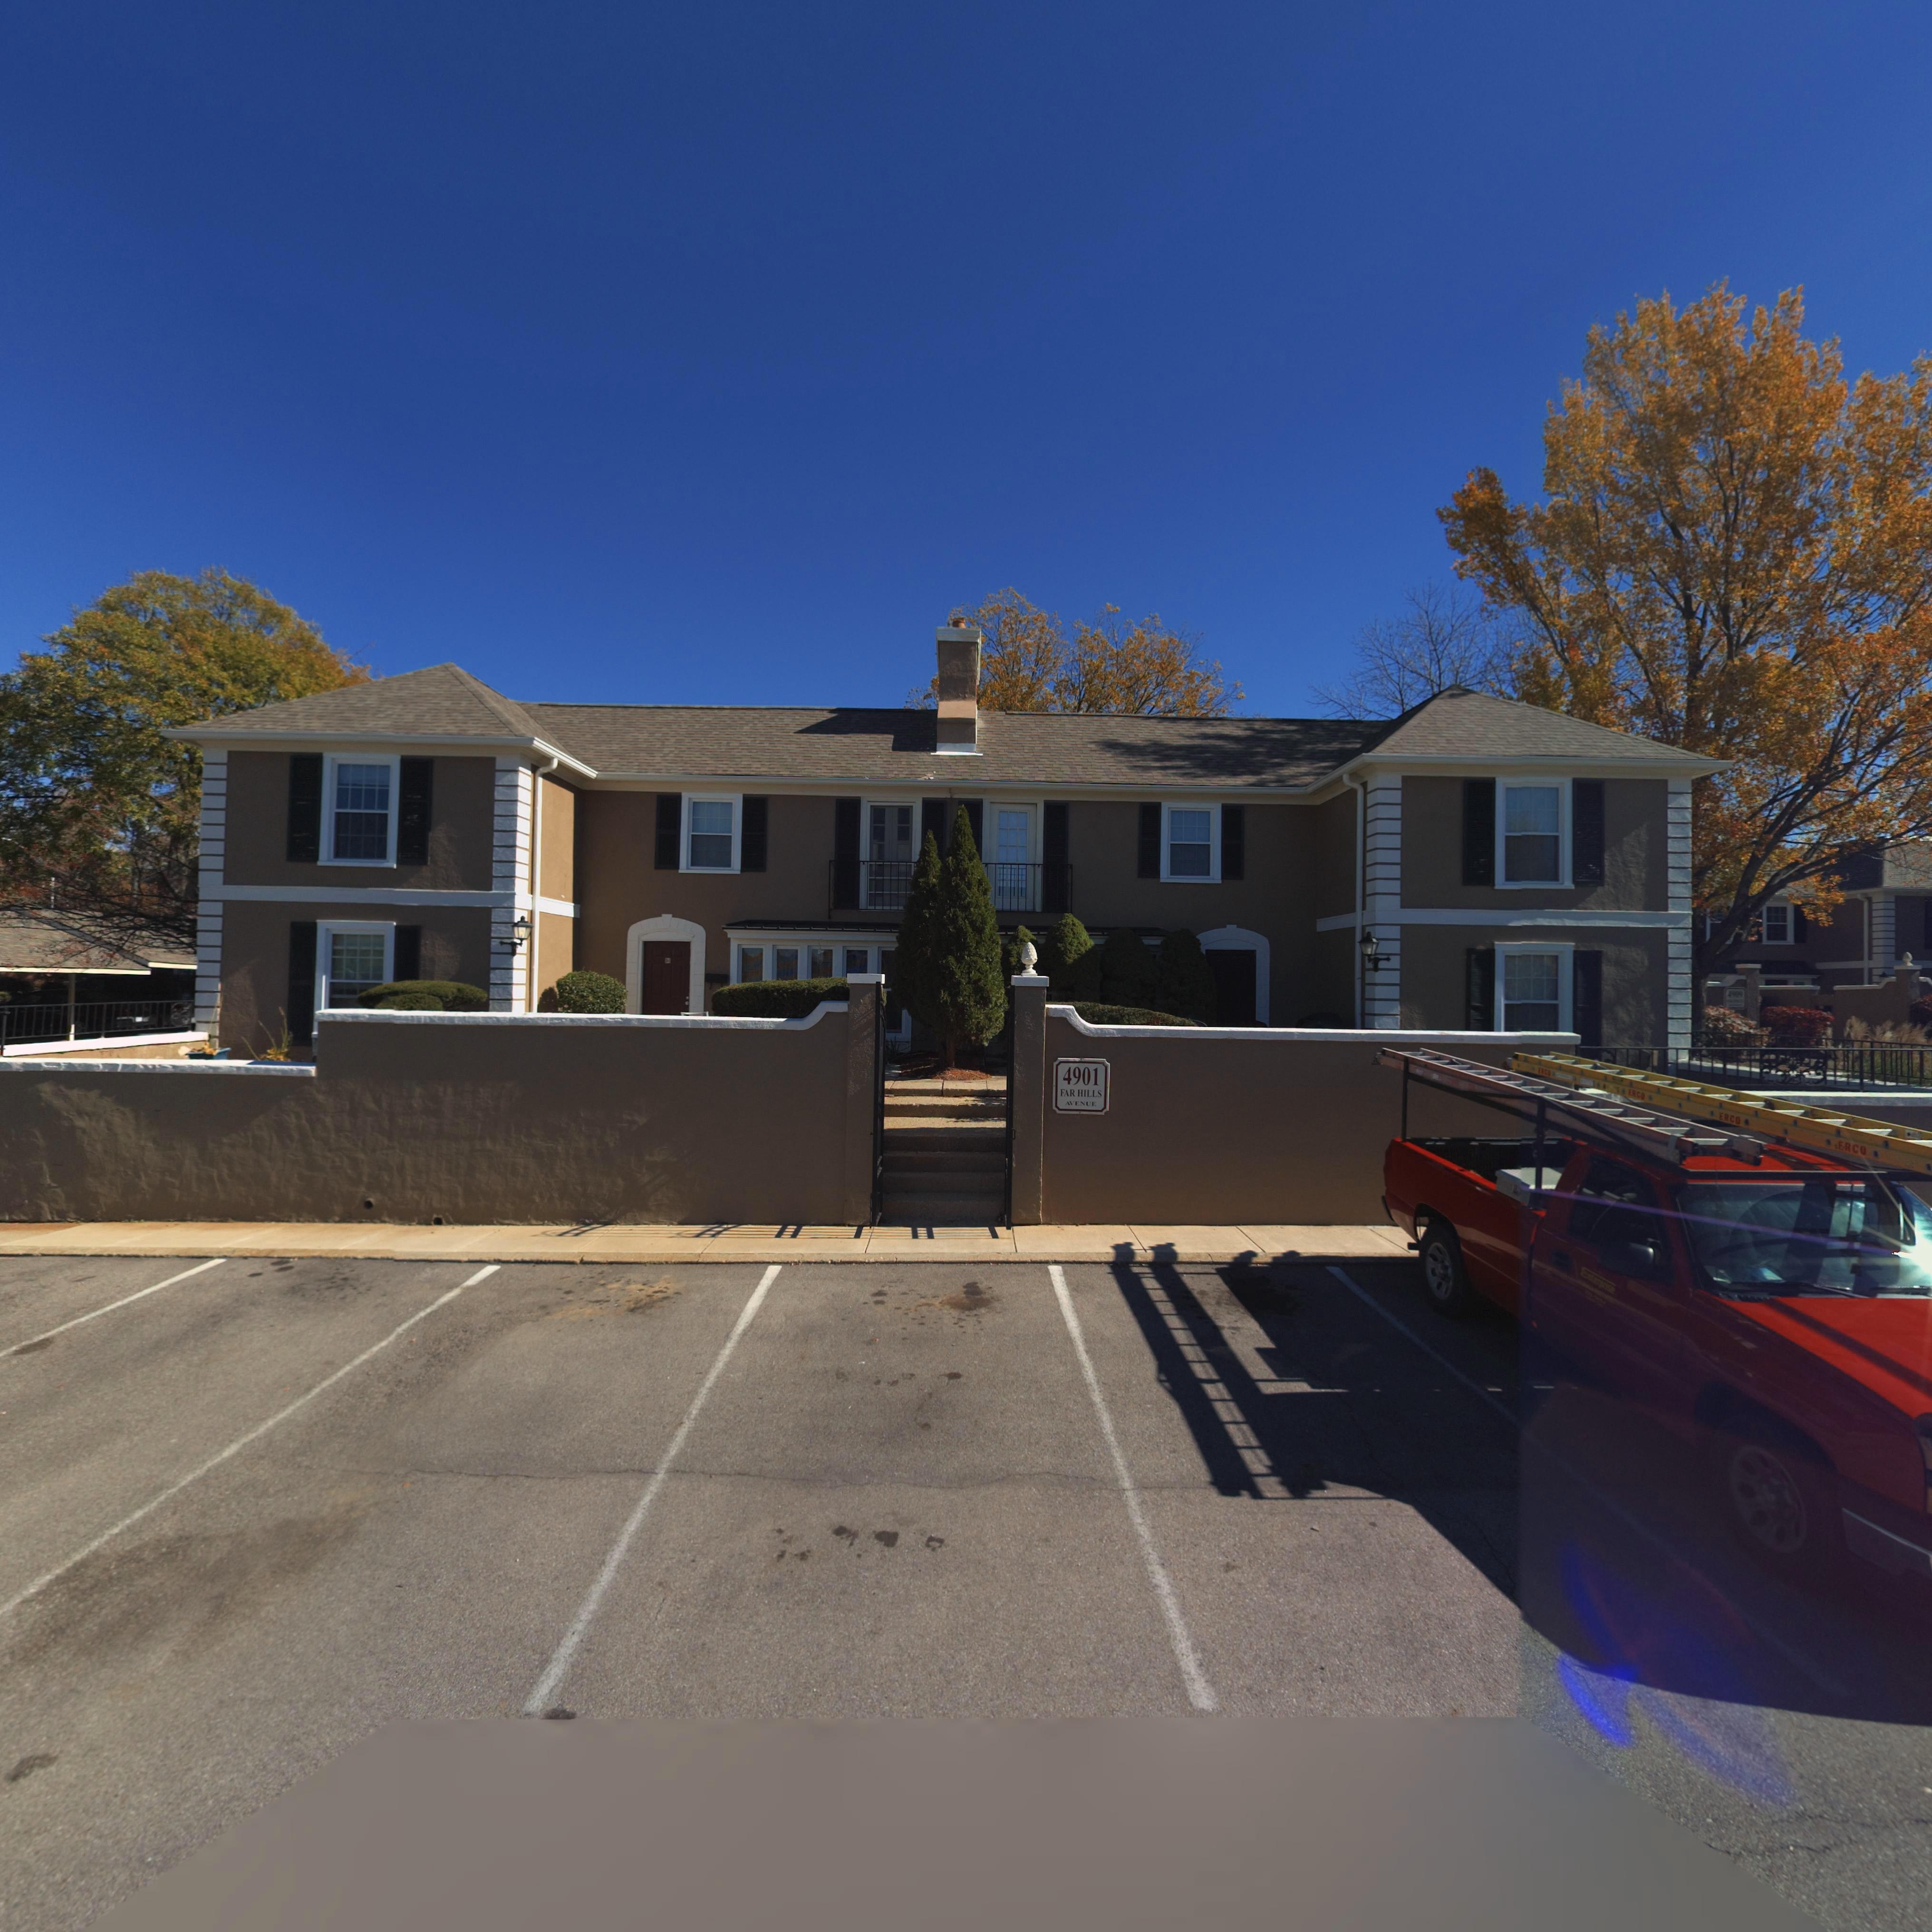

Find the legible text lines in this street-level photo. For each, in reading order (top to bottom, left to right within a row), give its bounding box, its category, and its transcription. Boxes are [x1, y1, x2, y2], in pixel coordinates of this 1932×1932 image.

[1062, 1066, 1100, 1086] StreetNumber: 4901